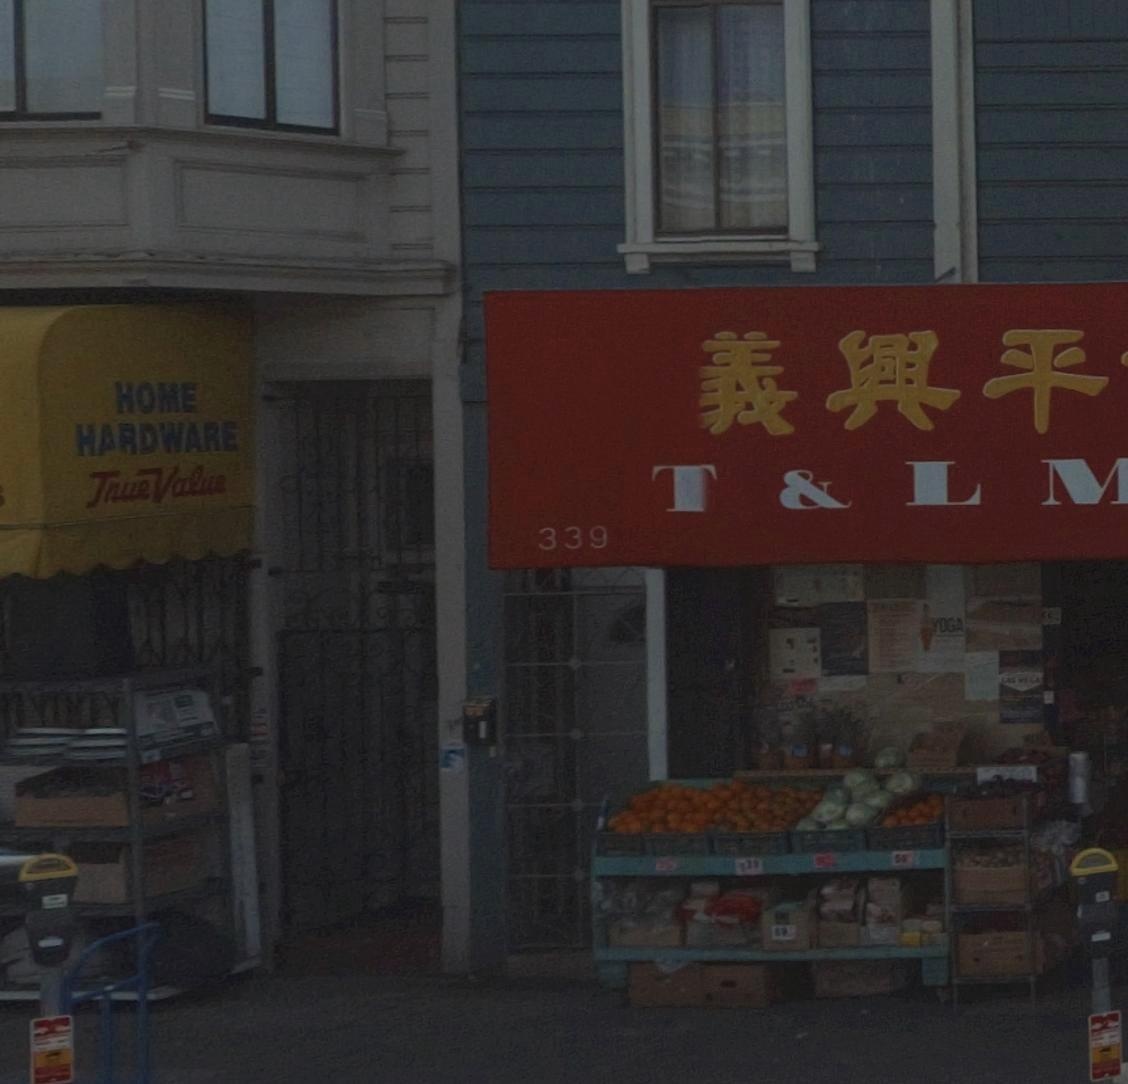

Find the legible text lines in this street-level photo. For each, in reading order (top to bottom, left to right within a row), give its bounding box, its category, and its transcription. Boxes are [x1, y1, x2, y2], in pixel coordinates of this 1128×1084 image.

[113, 380, 200, 417] None: HOME
[72, 420, 240, 459] None: HARDWARE
[83, 463, 227, 512] BusinessName: True Value
[650, 457, 1128, 514] BusinessName: T & L M
[537, 524, 608, 552] StreetNumber: 339
[930, 616, 965, 634] None: YOGA